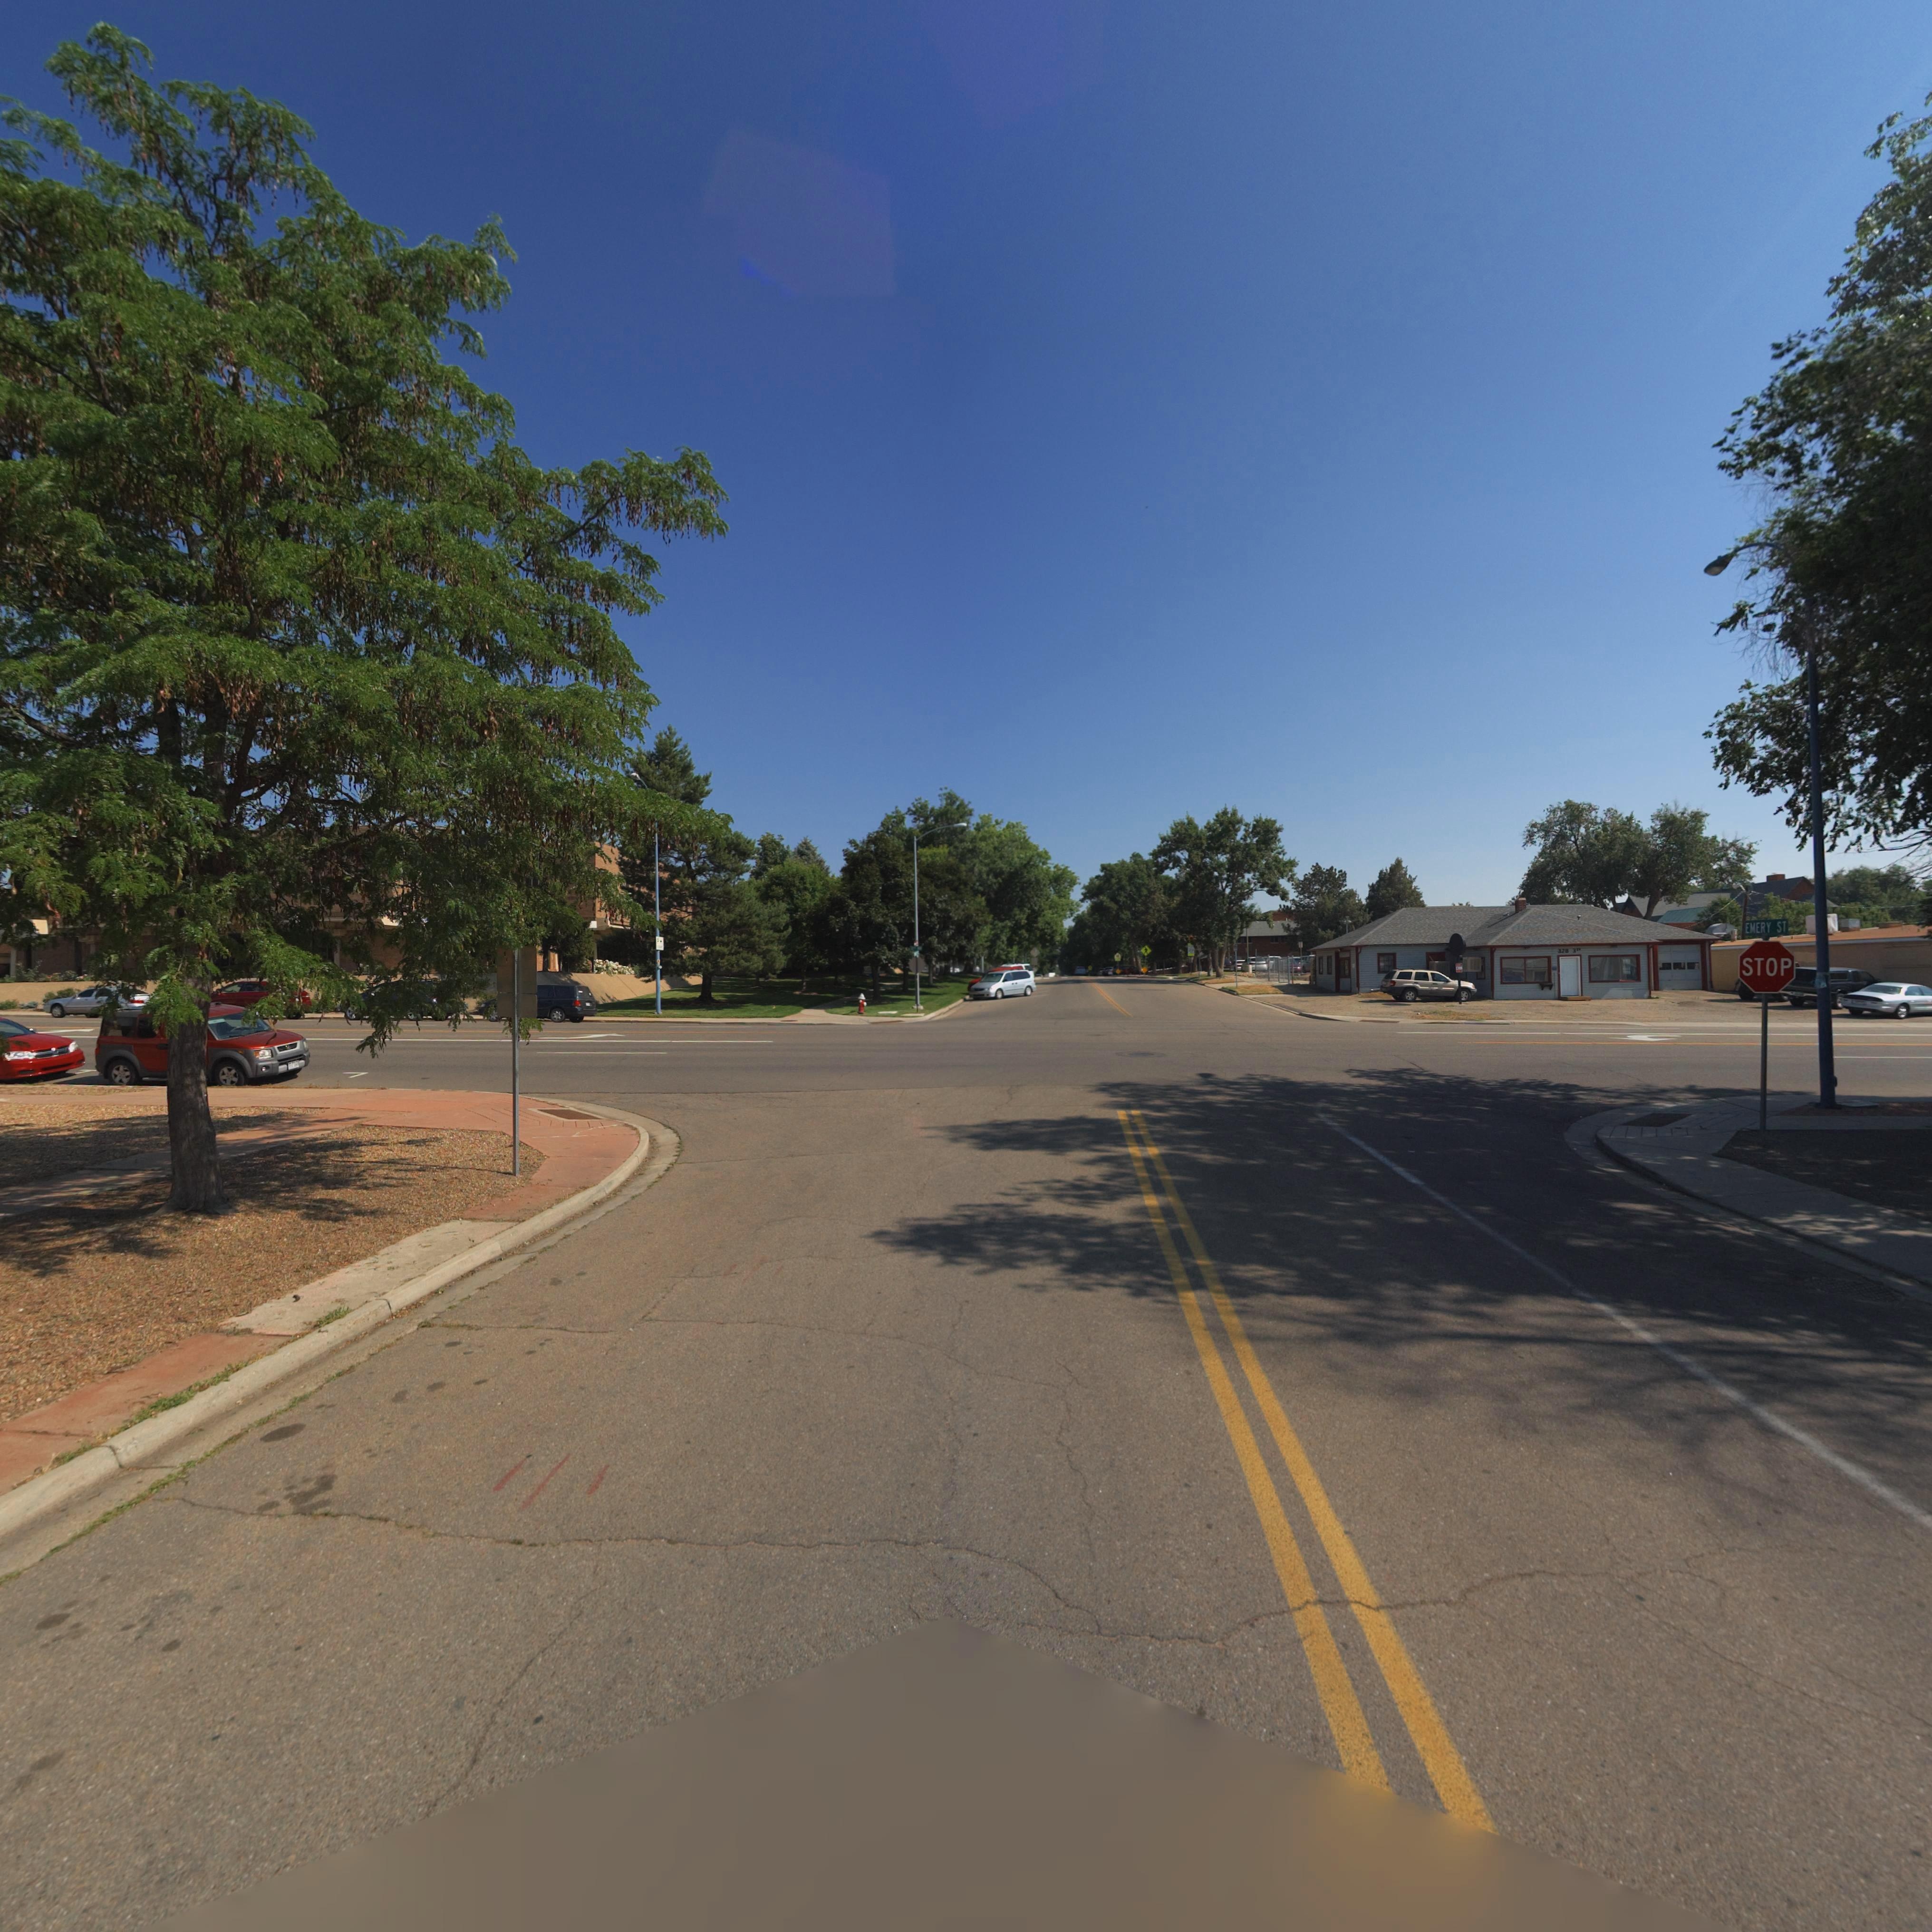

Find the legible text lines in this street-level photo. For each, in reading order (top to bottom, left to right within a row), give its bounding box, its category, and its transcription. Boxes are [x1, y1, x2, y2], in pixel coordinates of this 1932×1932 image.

[1744, 920, 1787, 933] StreetName: EMERY ST
[1557, 948, 1569, 953] StreetNumber: 328
[1572, 947, 1581, 953] StreetName: 3r*